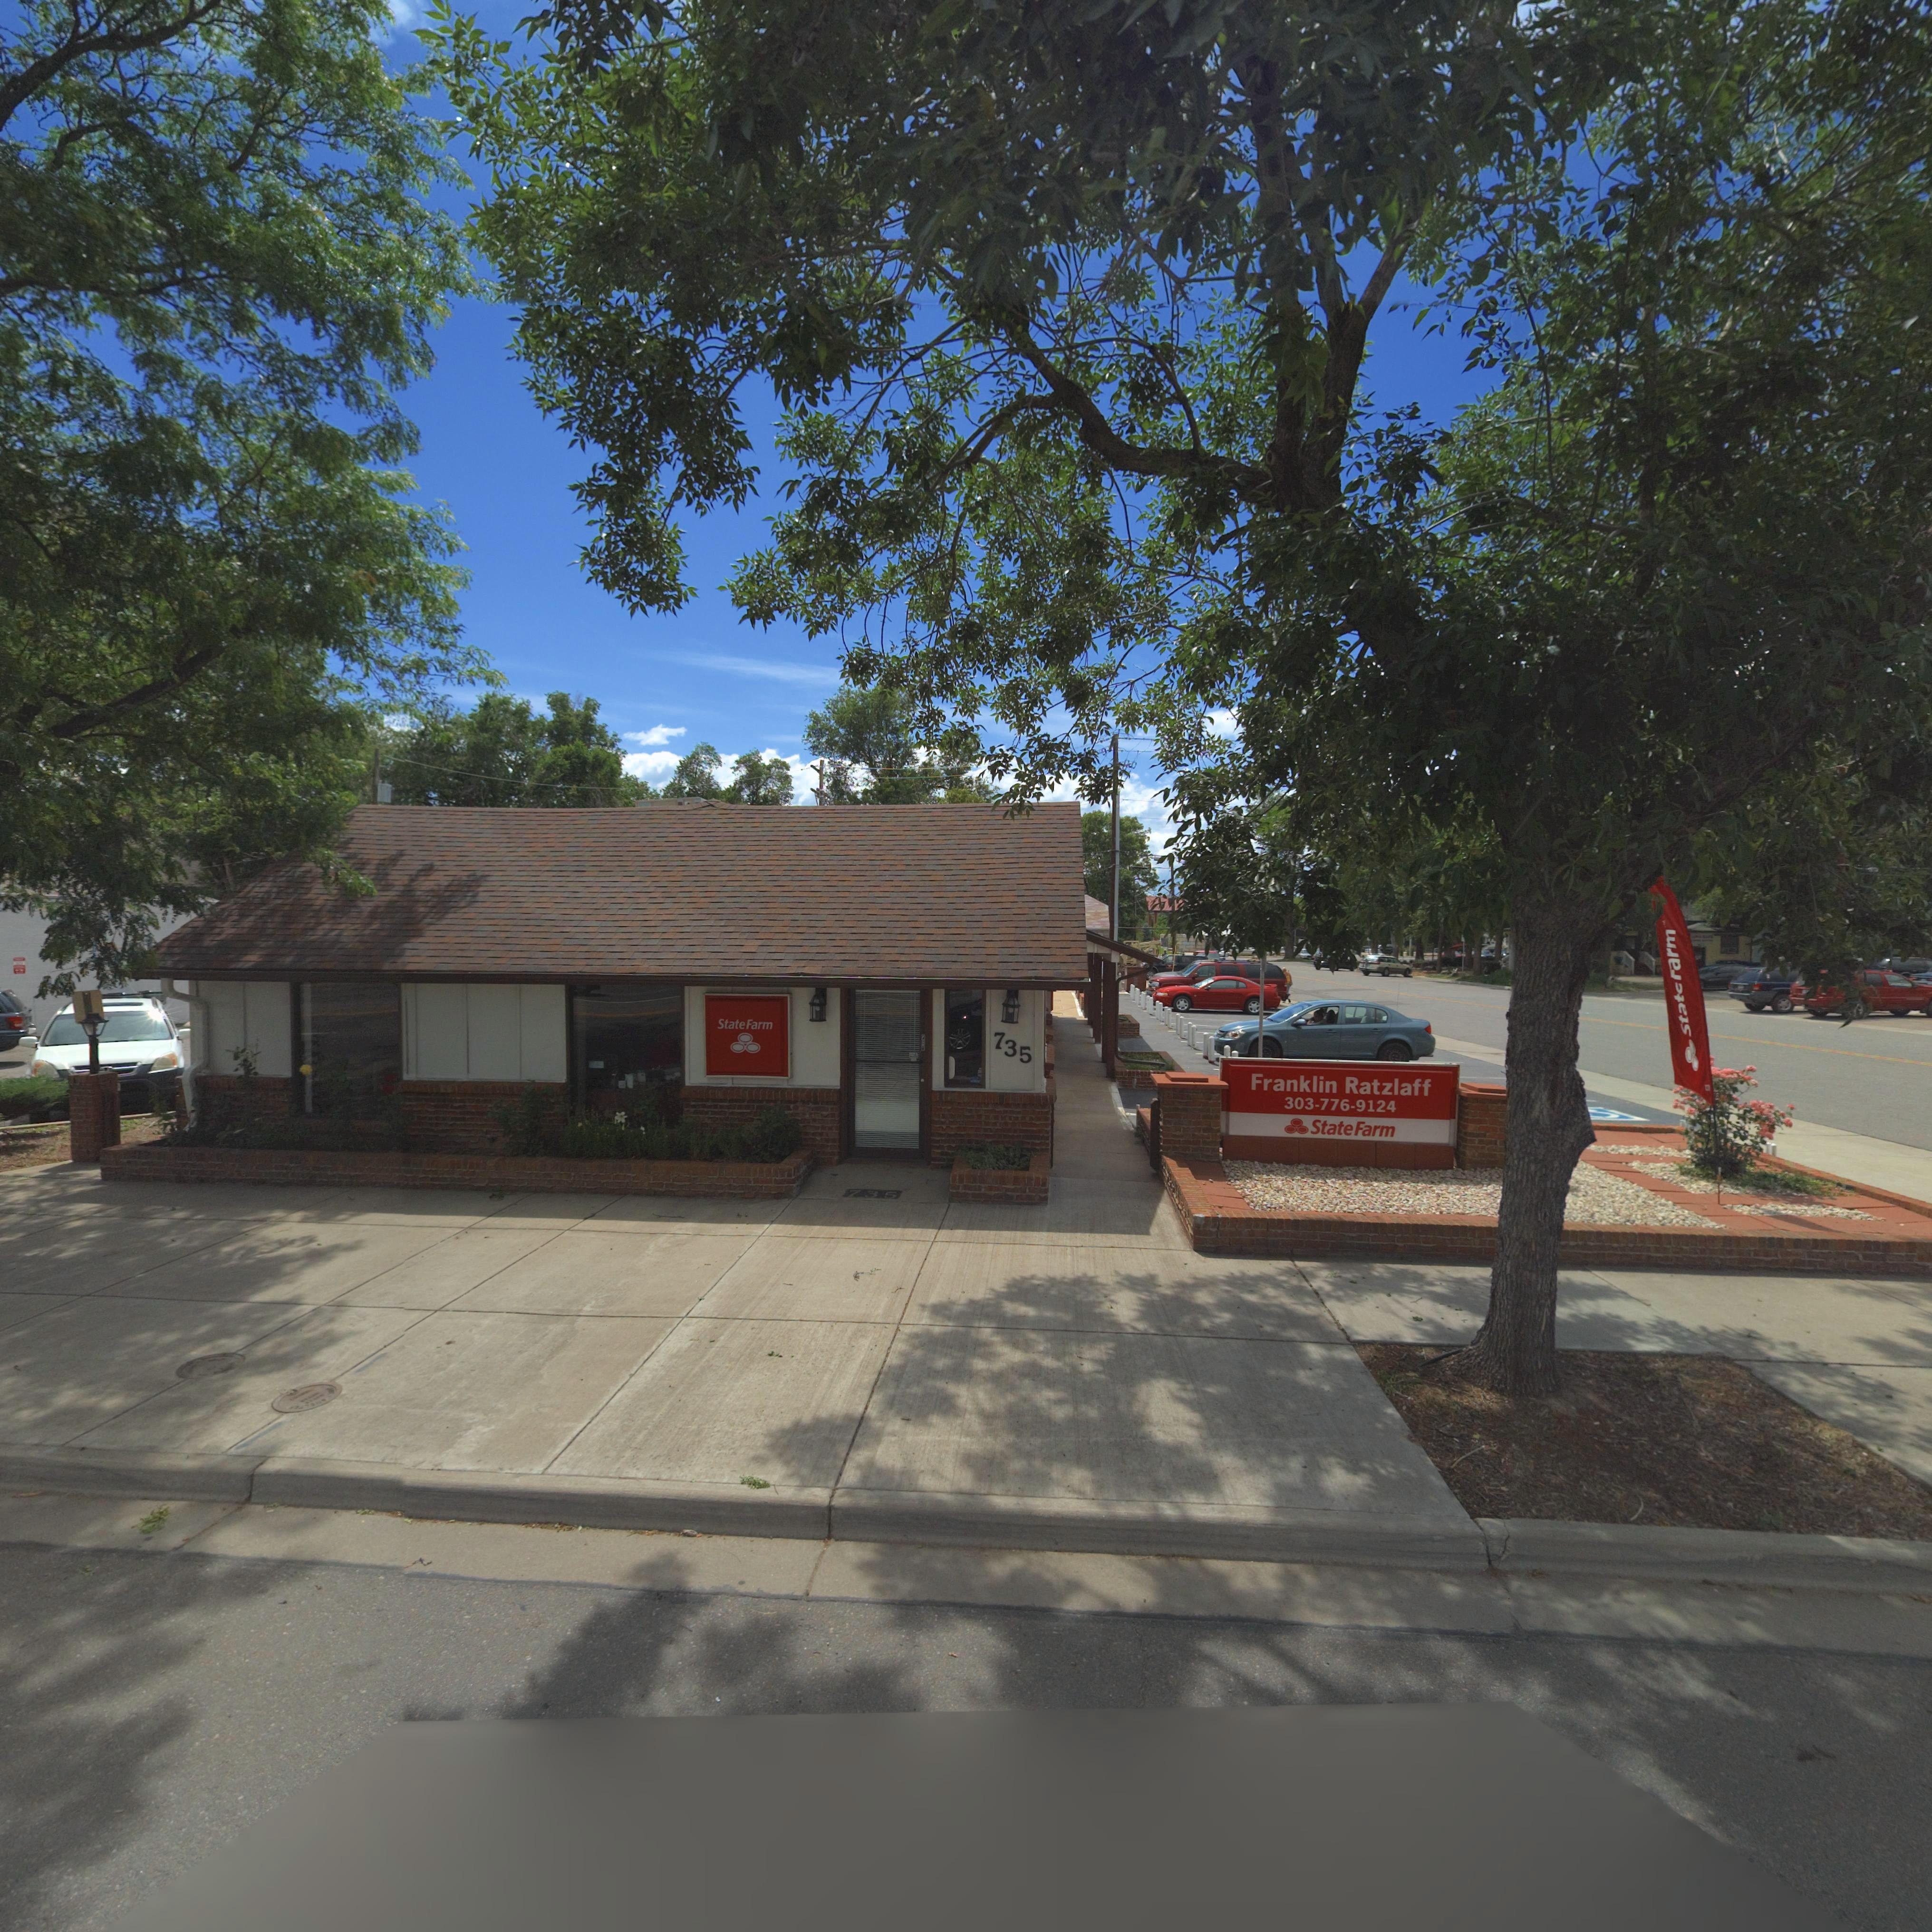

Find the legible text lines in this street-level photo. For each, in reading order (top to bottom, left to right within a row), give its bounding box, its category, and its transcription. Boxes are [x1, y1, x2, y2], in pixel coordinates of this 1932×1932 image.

[1664, 928, 1692, 1037] BusinessName: Staterarm
[716, 1018, 773, 1030] BusinessName: StateFarm
[994, 1032, 1032, 1064] StreetNumber: 735
[1310, 1119, 1396, 1138] BusinessName: StateFarm
[847, 1189, 898, 1198] StreetNumber: 735